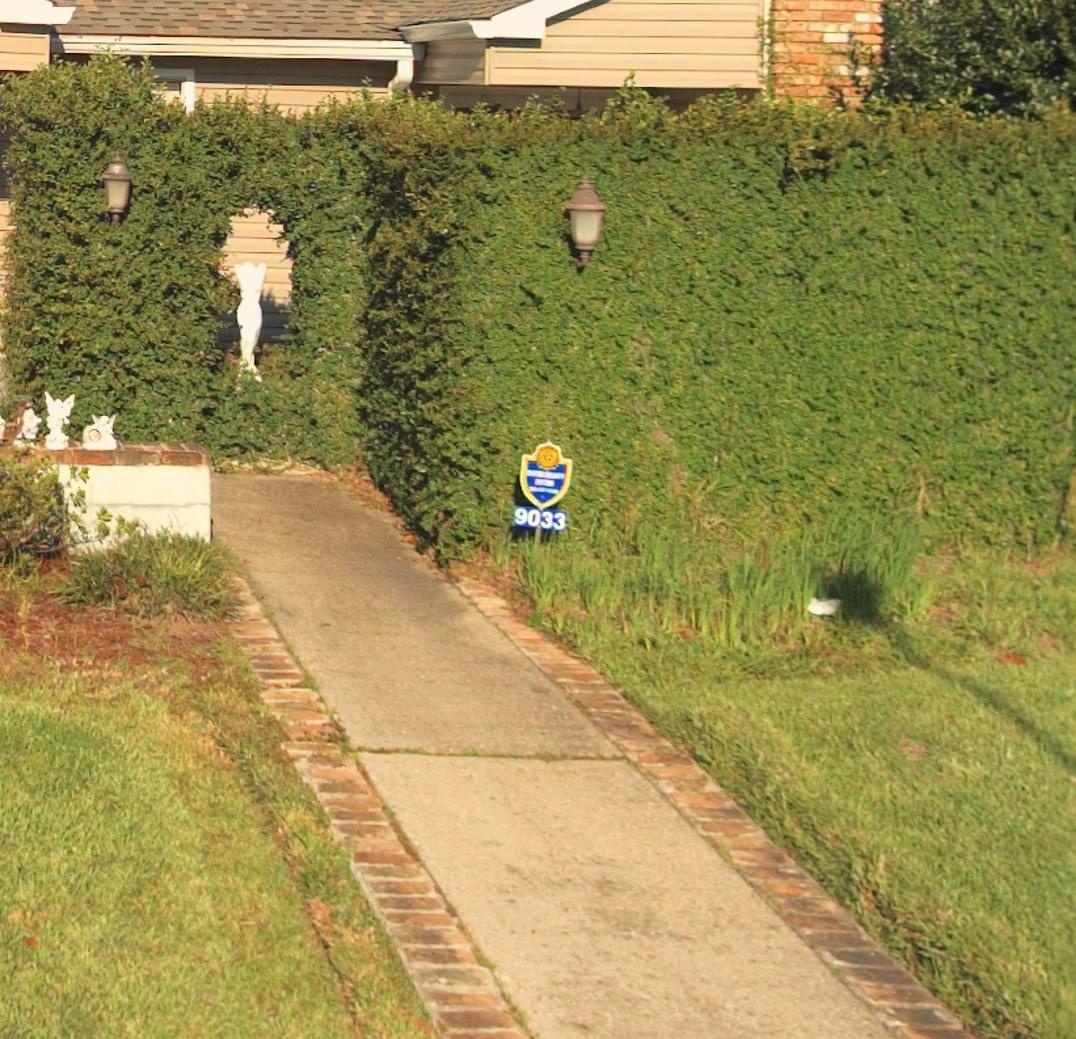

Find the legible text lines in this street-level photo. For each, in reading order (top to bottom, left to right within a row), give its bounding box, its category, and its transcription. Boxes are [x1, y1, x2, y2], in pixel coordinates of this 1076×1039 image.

[513, 506, 566, 531] StreetNumber: 9033